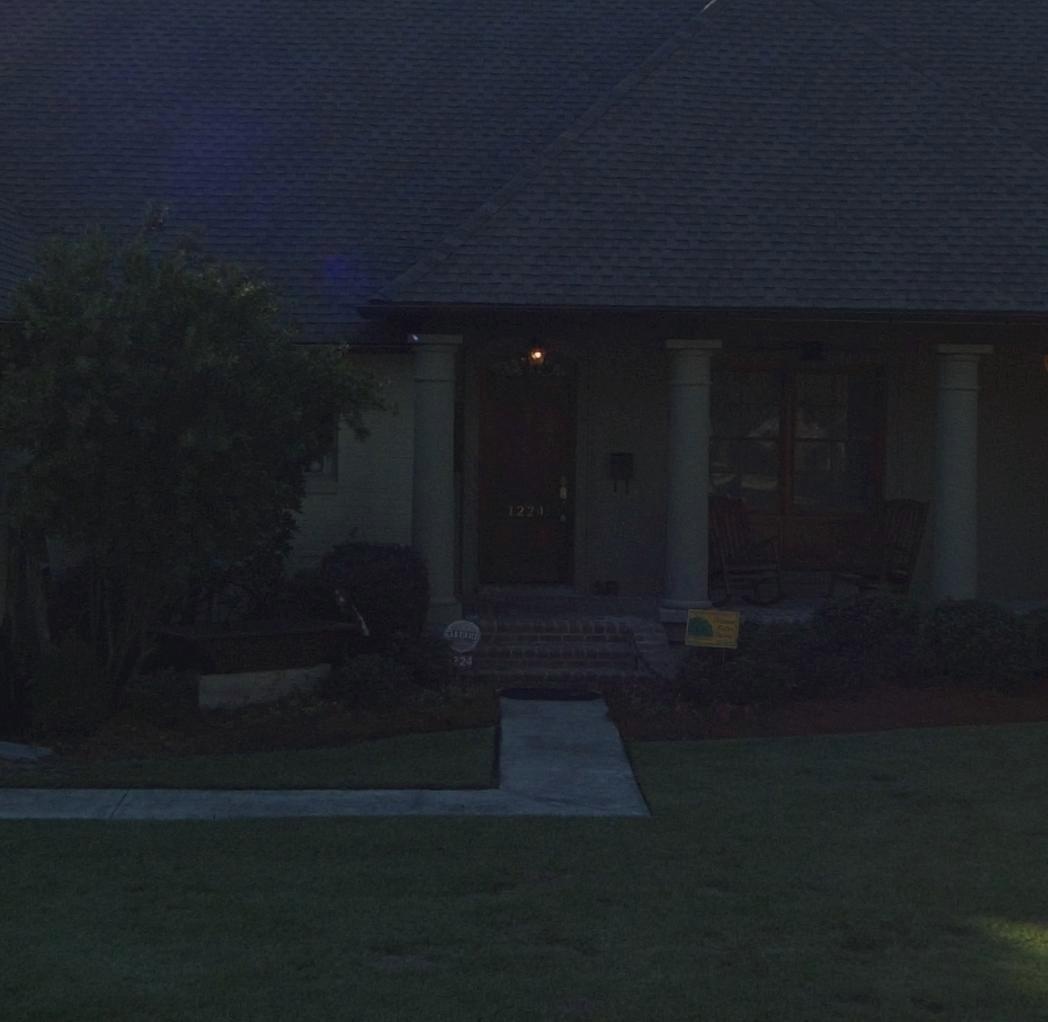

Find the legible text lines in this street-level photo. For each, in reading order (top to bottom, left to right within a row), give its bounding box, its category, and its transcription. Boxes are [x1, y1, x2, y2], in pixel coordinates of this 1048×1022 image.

[507, 503, 546, 518] StreetNumber: 1224
[446, 655, 473, 668] StreetNumber: **24